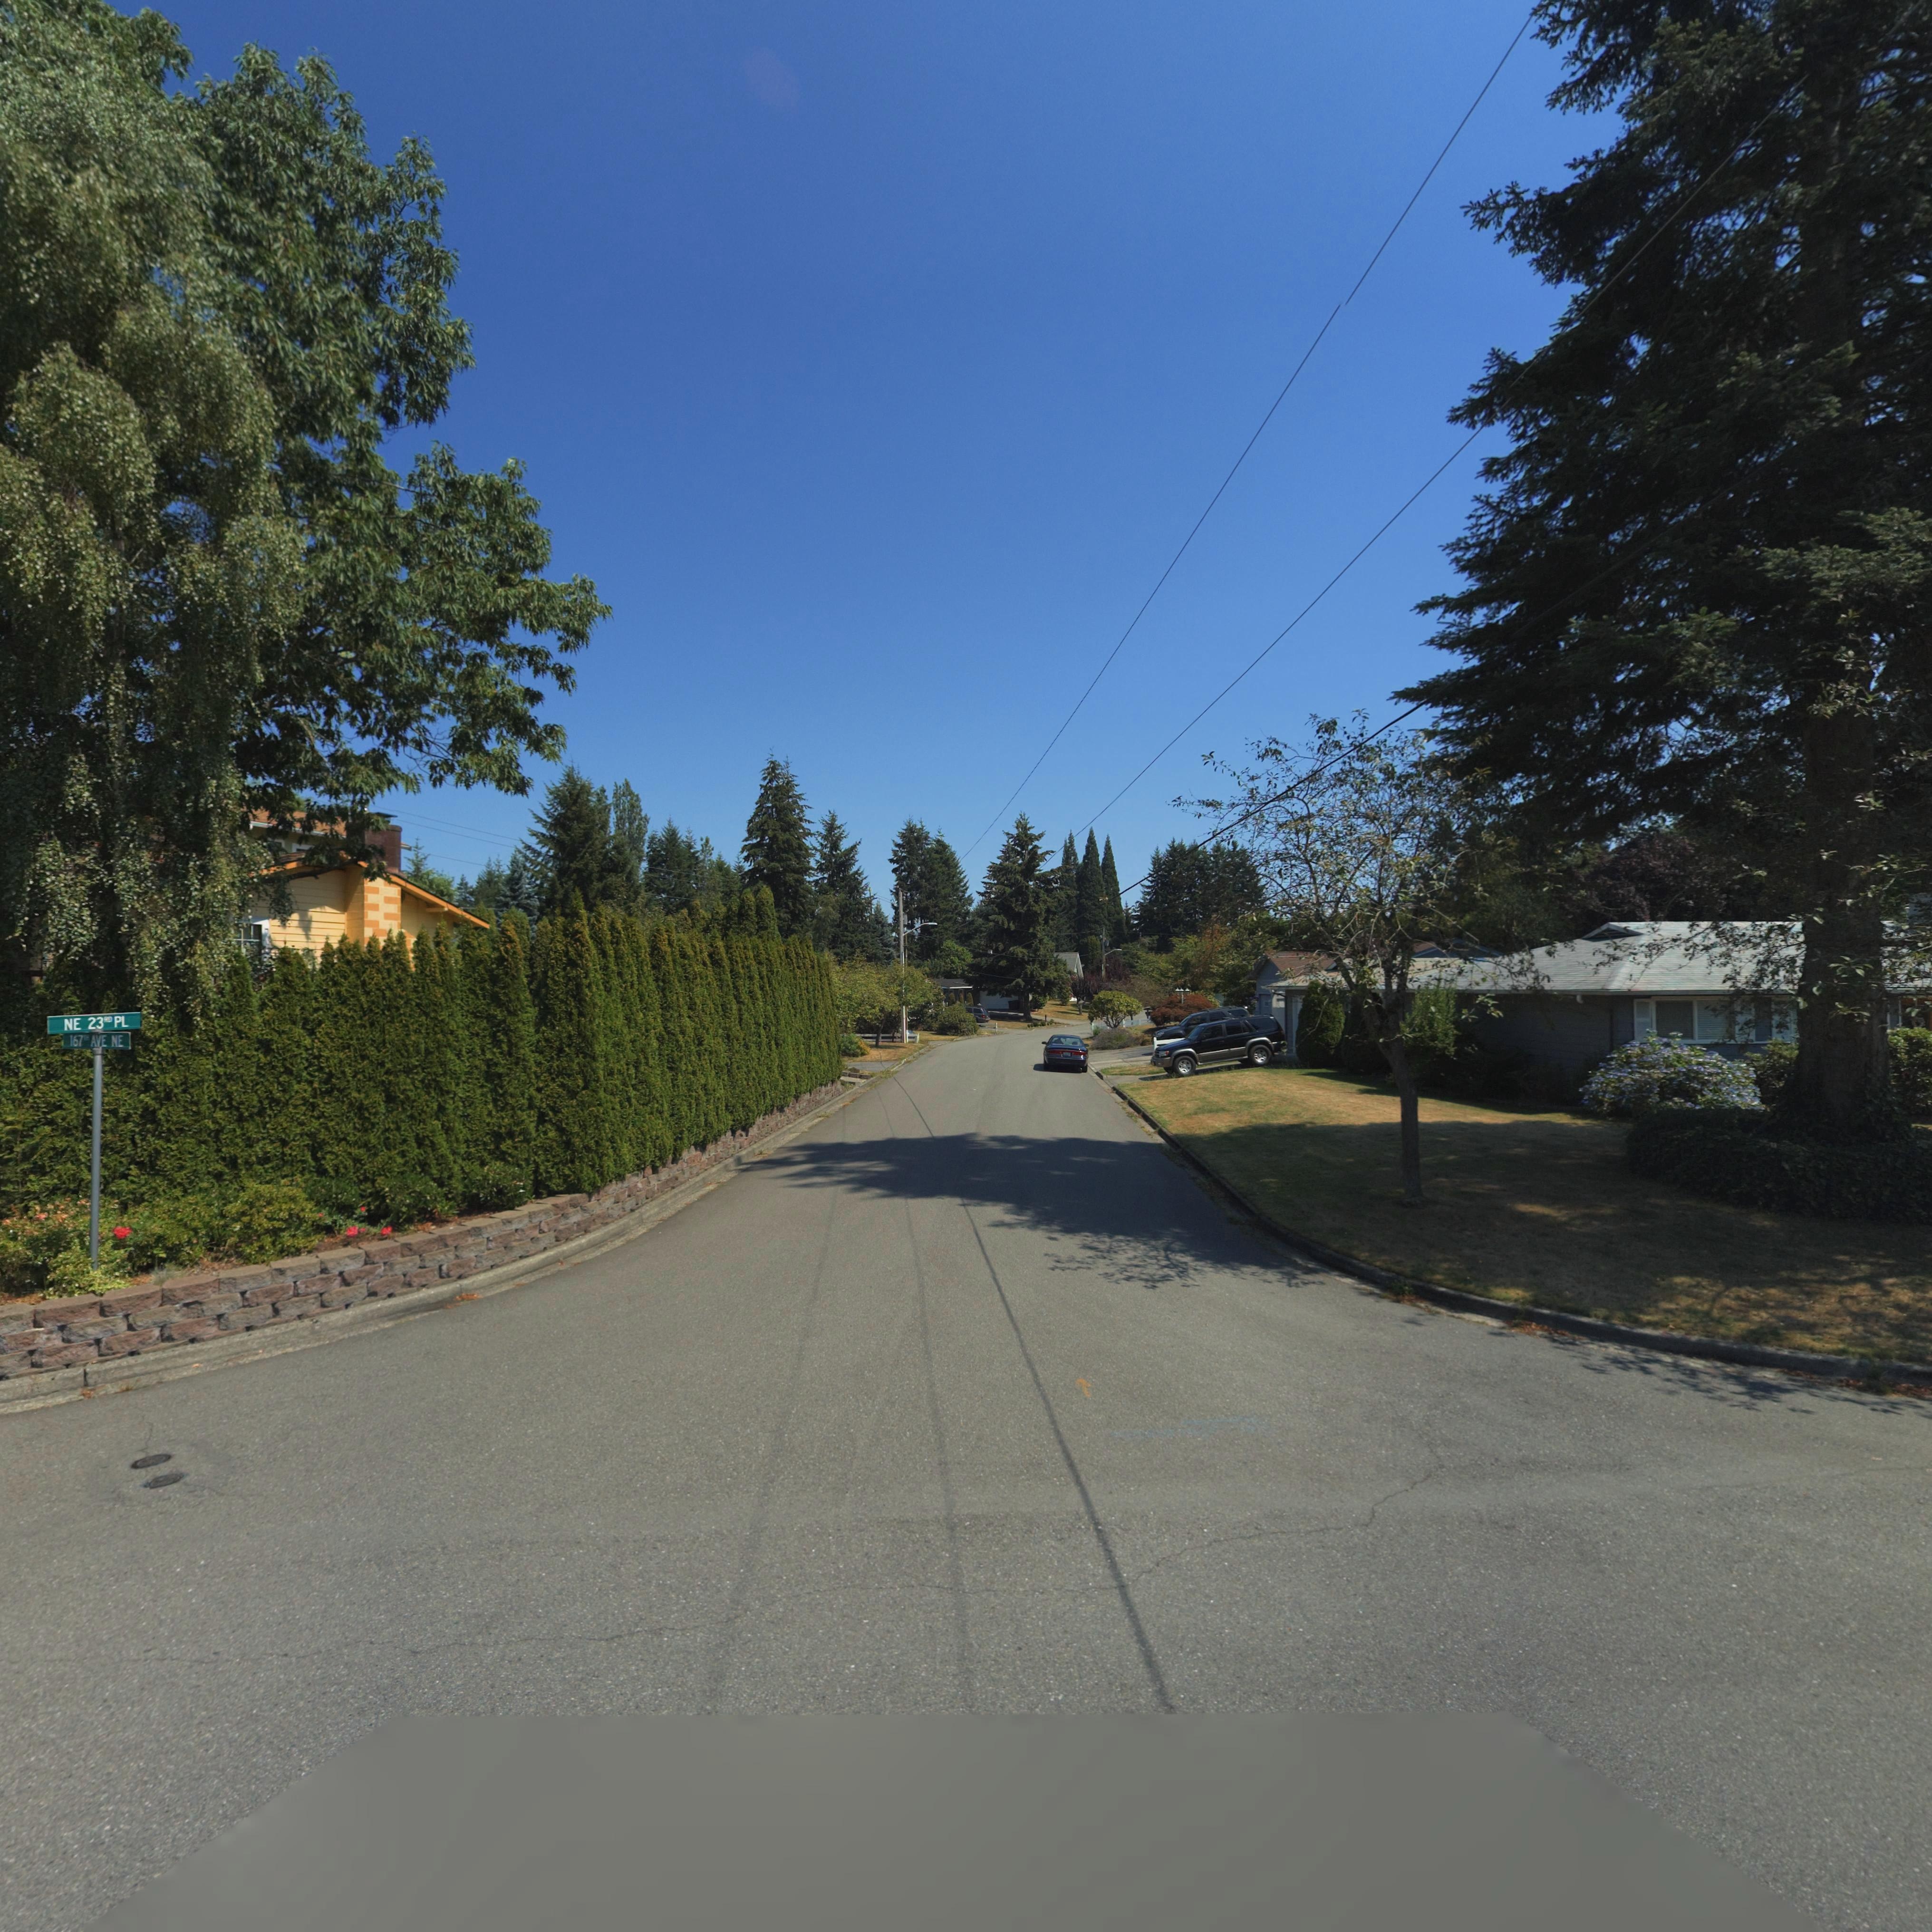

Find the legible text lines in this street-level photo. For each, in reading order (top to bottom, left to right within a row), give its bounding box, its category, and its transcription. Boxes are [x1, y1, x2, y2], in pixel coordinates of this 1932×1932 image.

[63, 1014, 129, 1030] StreetName: NE 23rd PL
[68, 1034, 124, 1048] StreetName: 167th AVE NE